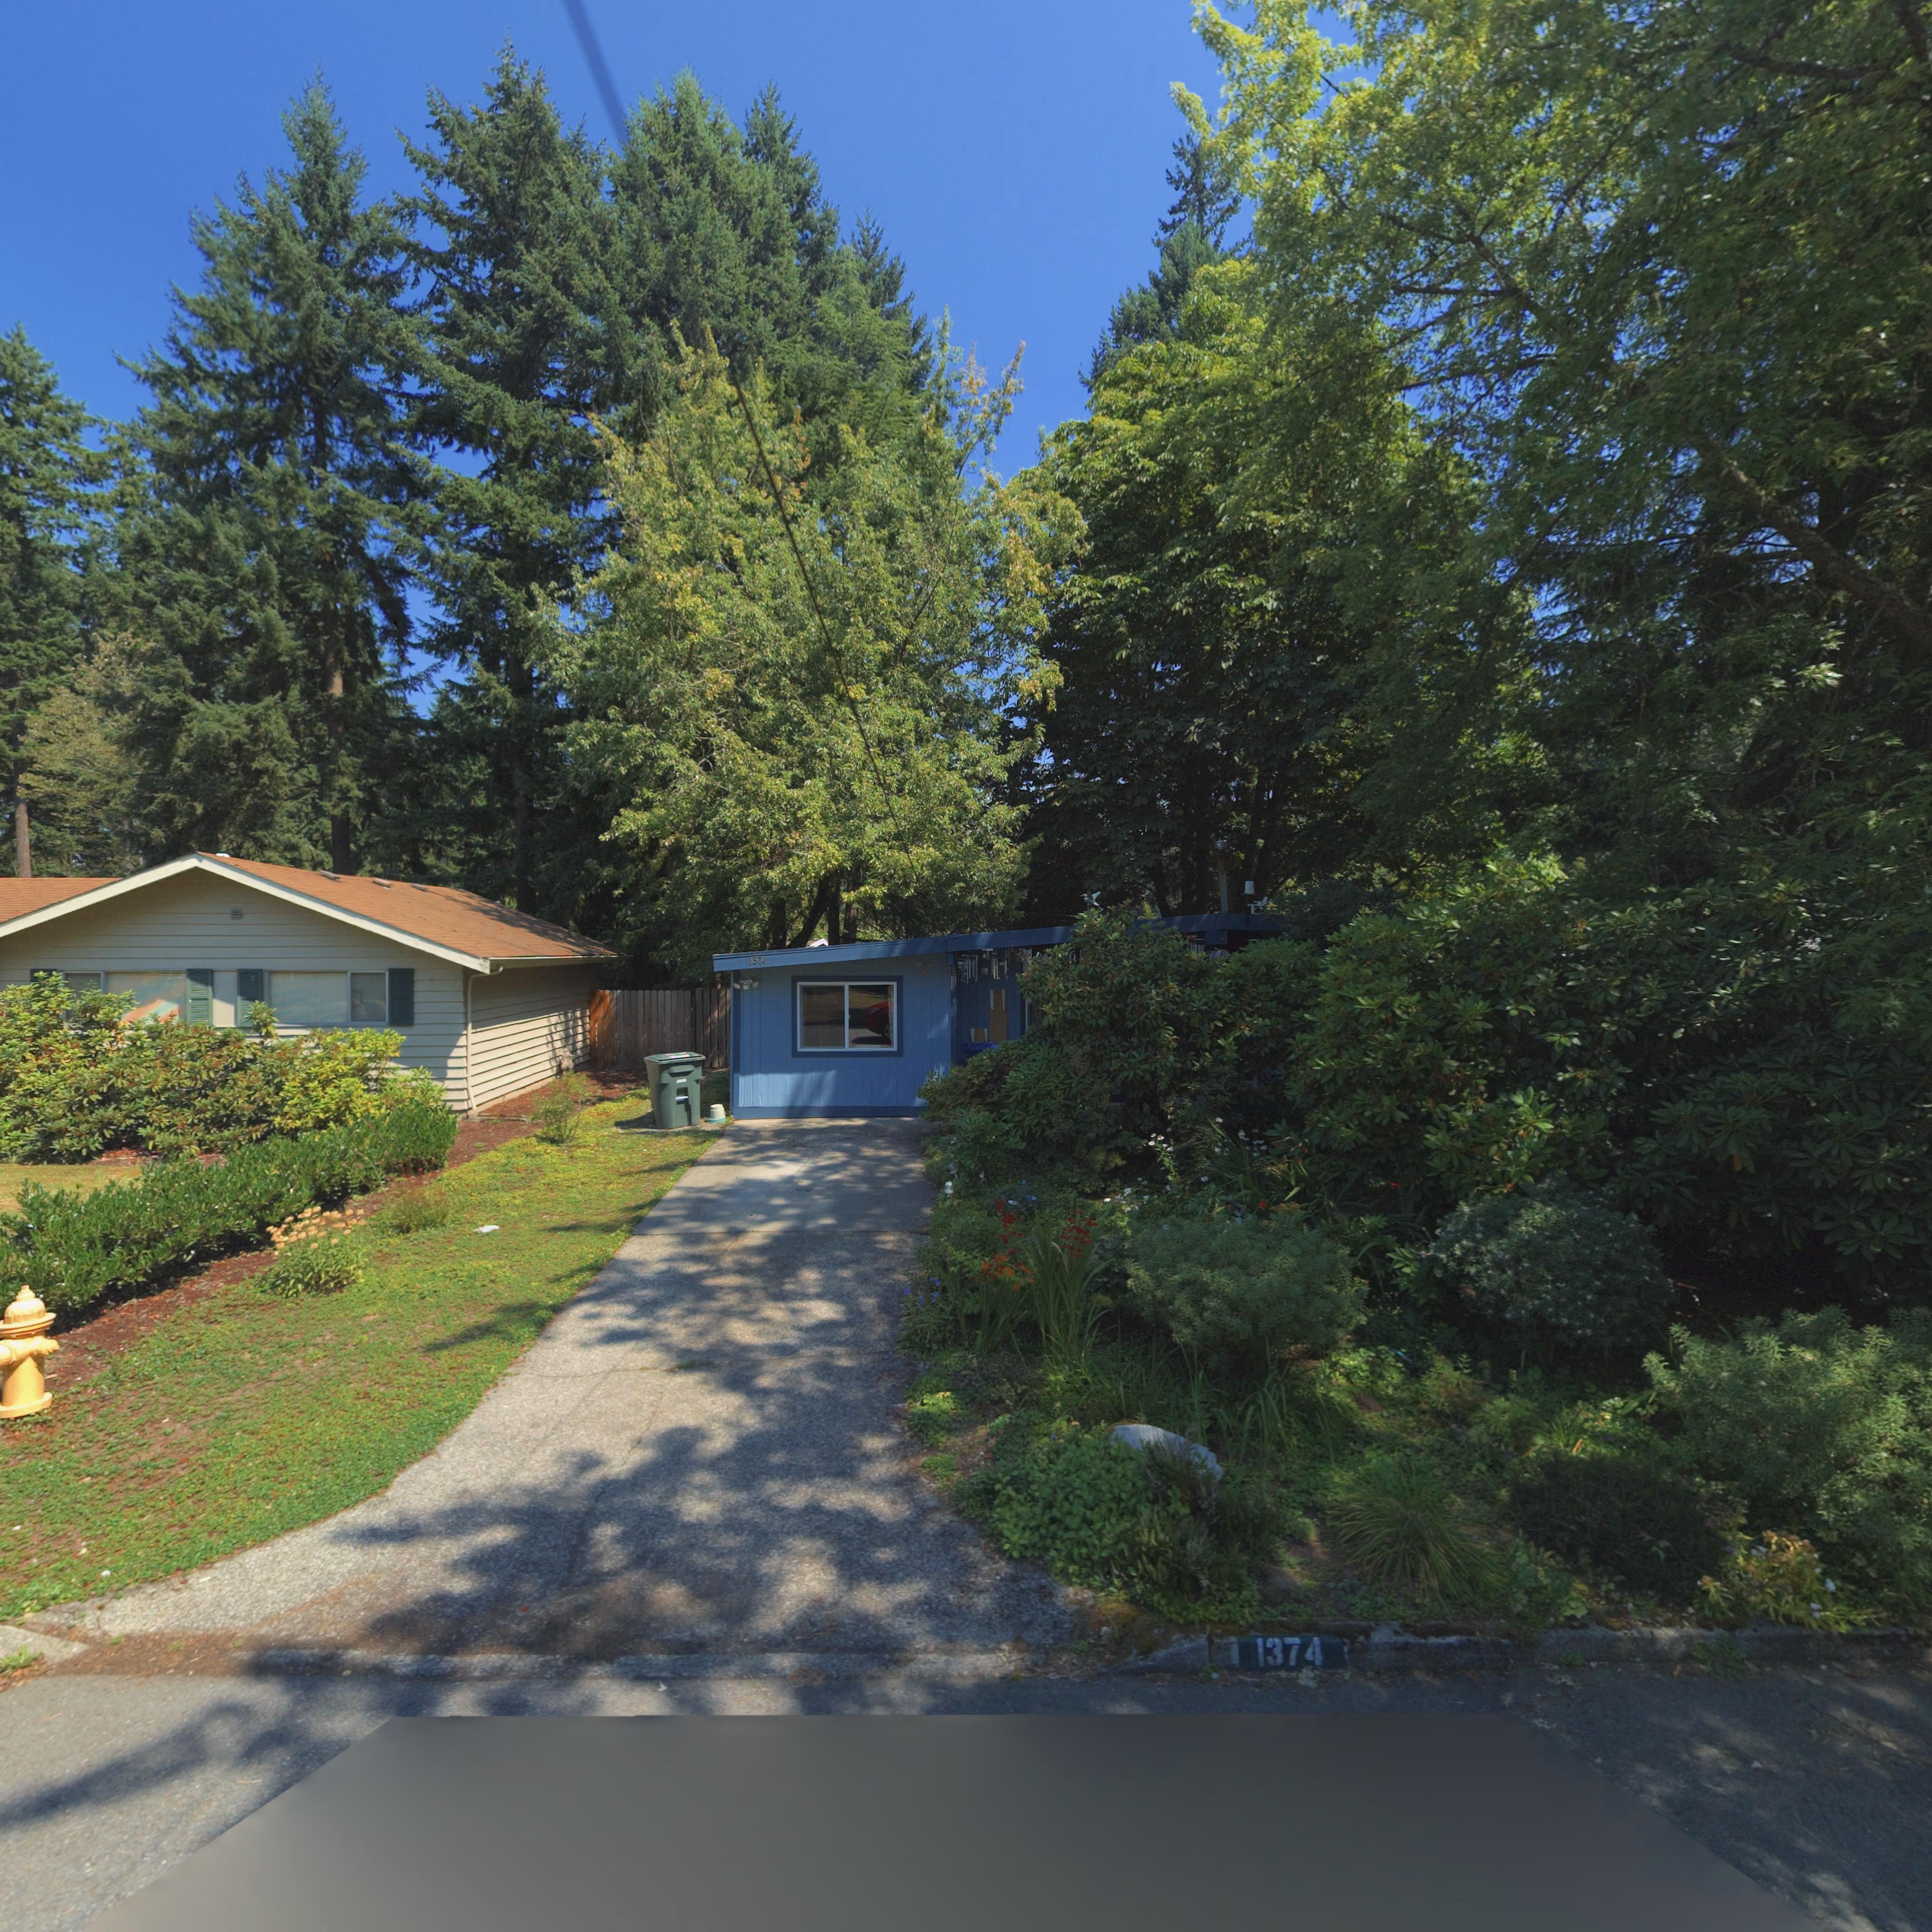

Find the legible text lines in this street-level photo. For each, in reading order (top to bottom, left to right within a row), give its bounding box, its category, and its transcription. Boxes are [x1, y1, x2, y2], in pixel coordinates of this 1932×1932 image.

[1256, 1636, 1324, 1669] StreetNumber: 1374